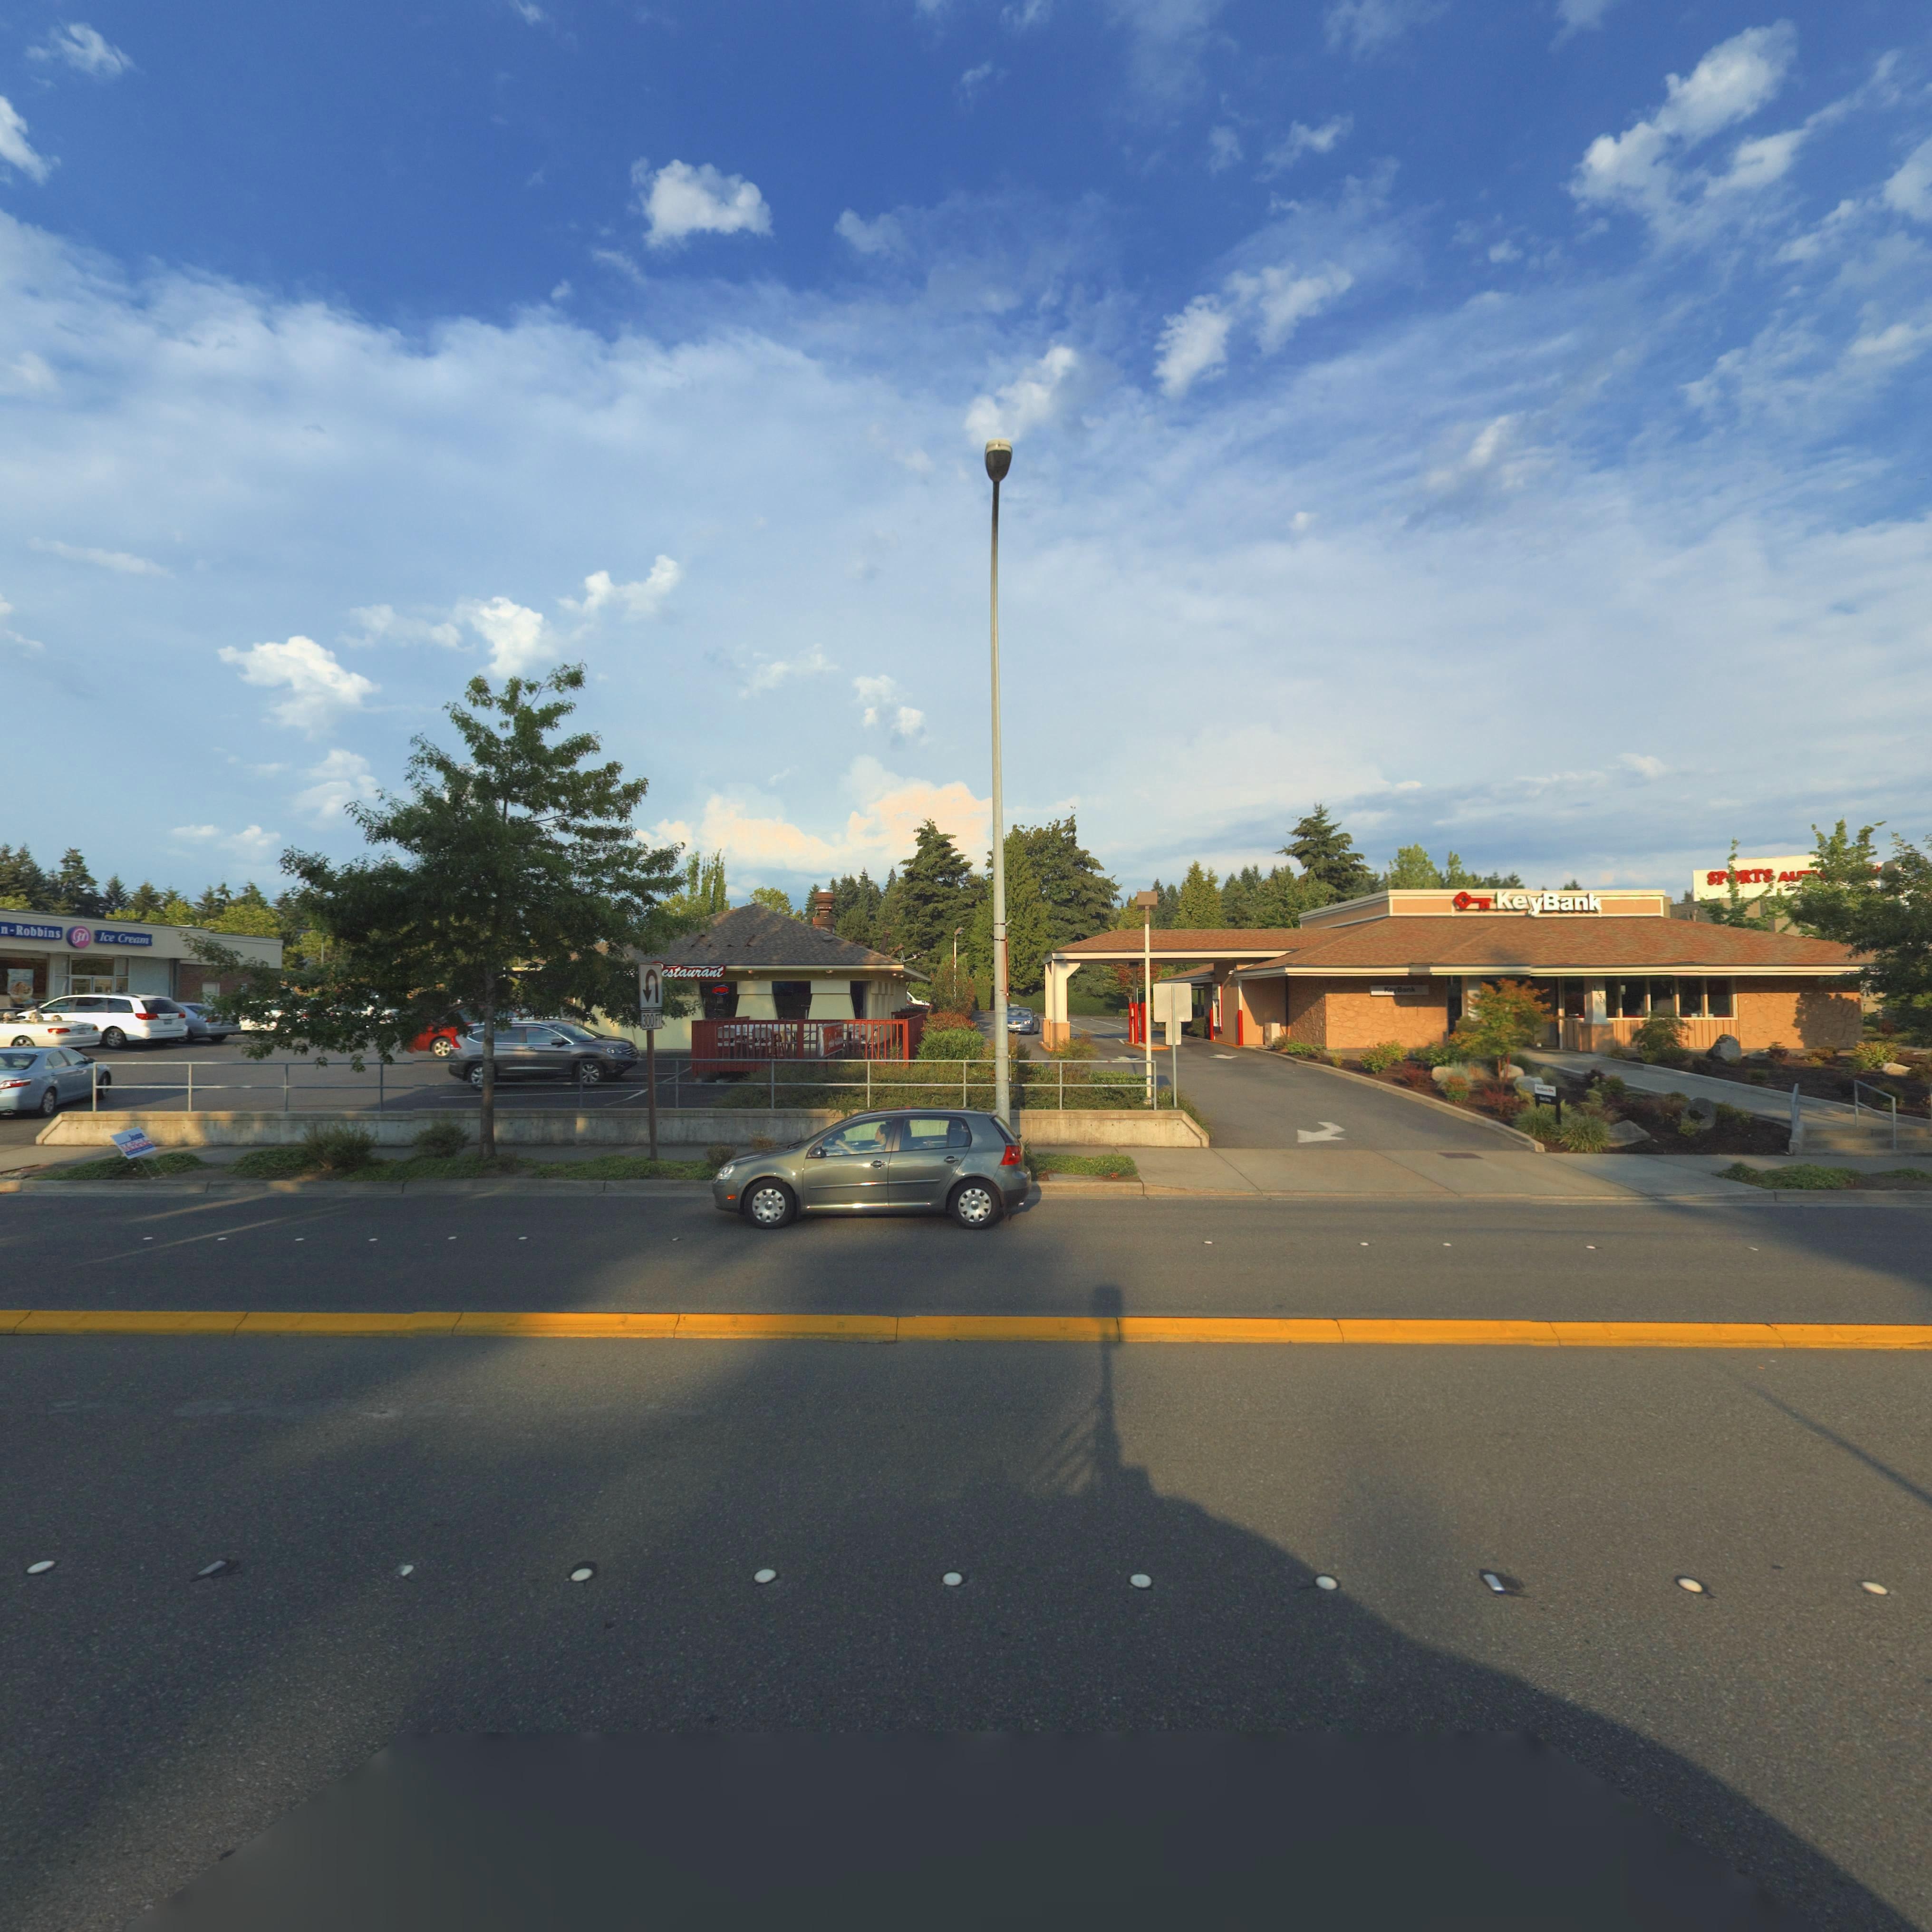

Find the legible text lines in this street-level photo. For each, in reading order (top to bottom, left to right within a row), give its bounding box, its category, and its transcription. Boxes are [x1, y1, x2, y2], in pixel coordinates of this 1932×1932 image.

[1706, 868, 1775, 885] BusinessName: SP*RT*
[1776, 869, 1802, 882] BusinessName: A*
[1497, 891, 1601, 915] BusinessName: KeyBank
[0, 925, 61, 939] BusinessName: n-Robbins
[99, 931, 150, 945] BusinessName: Ice Cream
[660, 966, 724, 977] BusinessName: estaurant